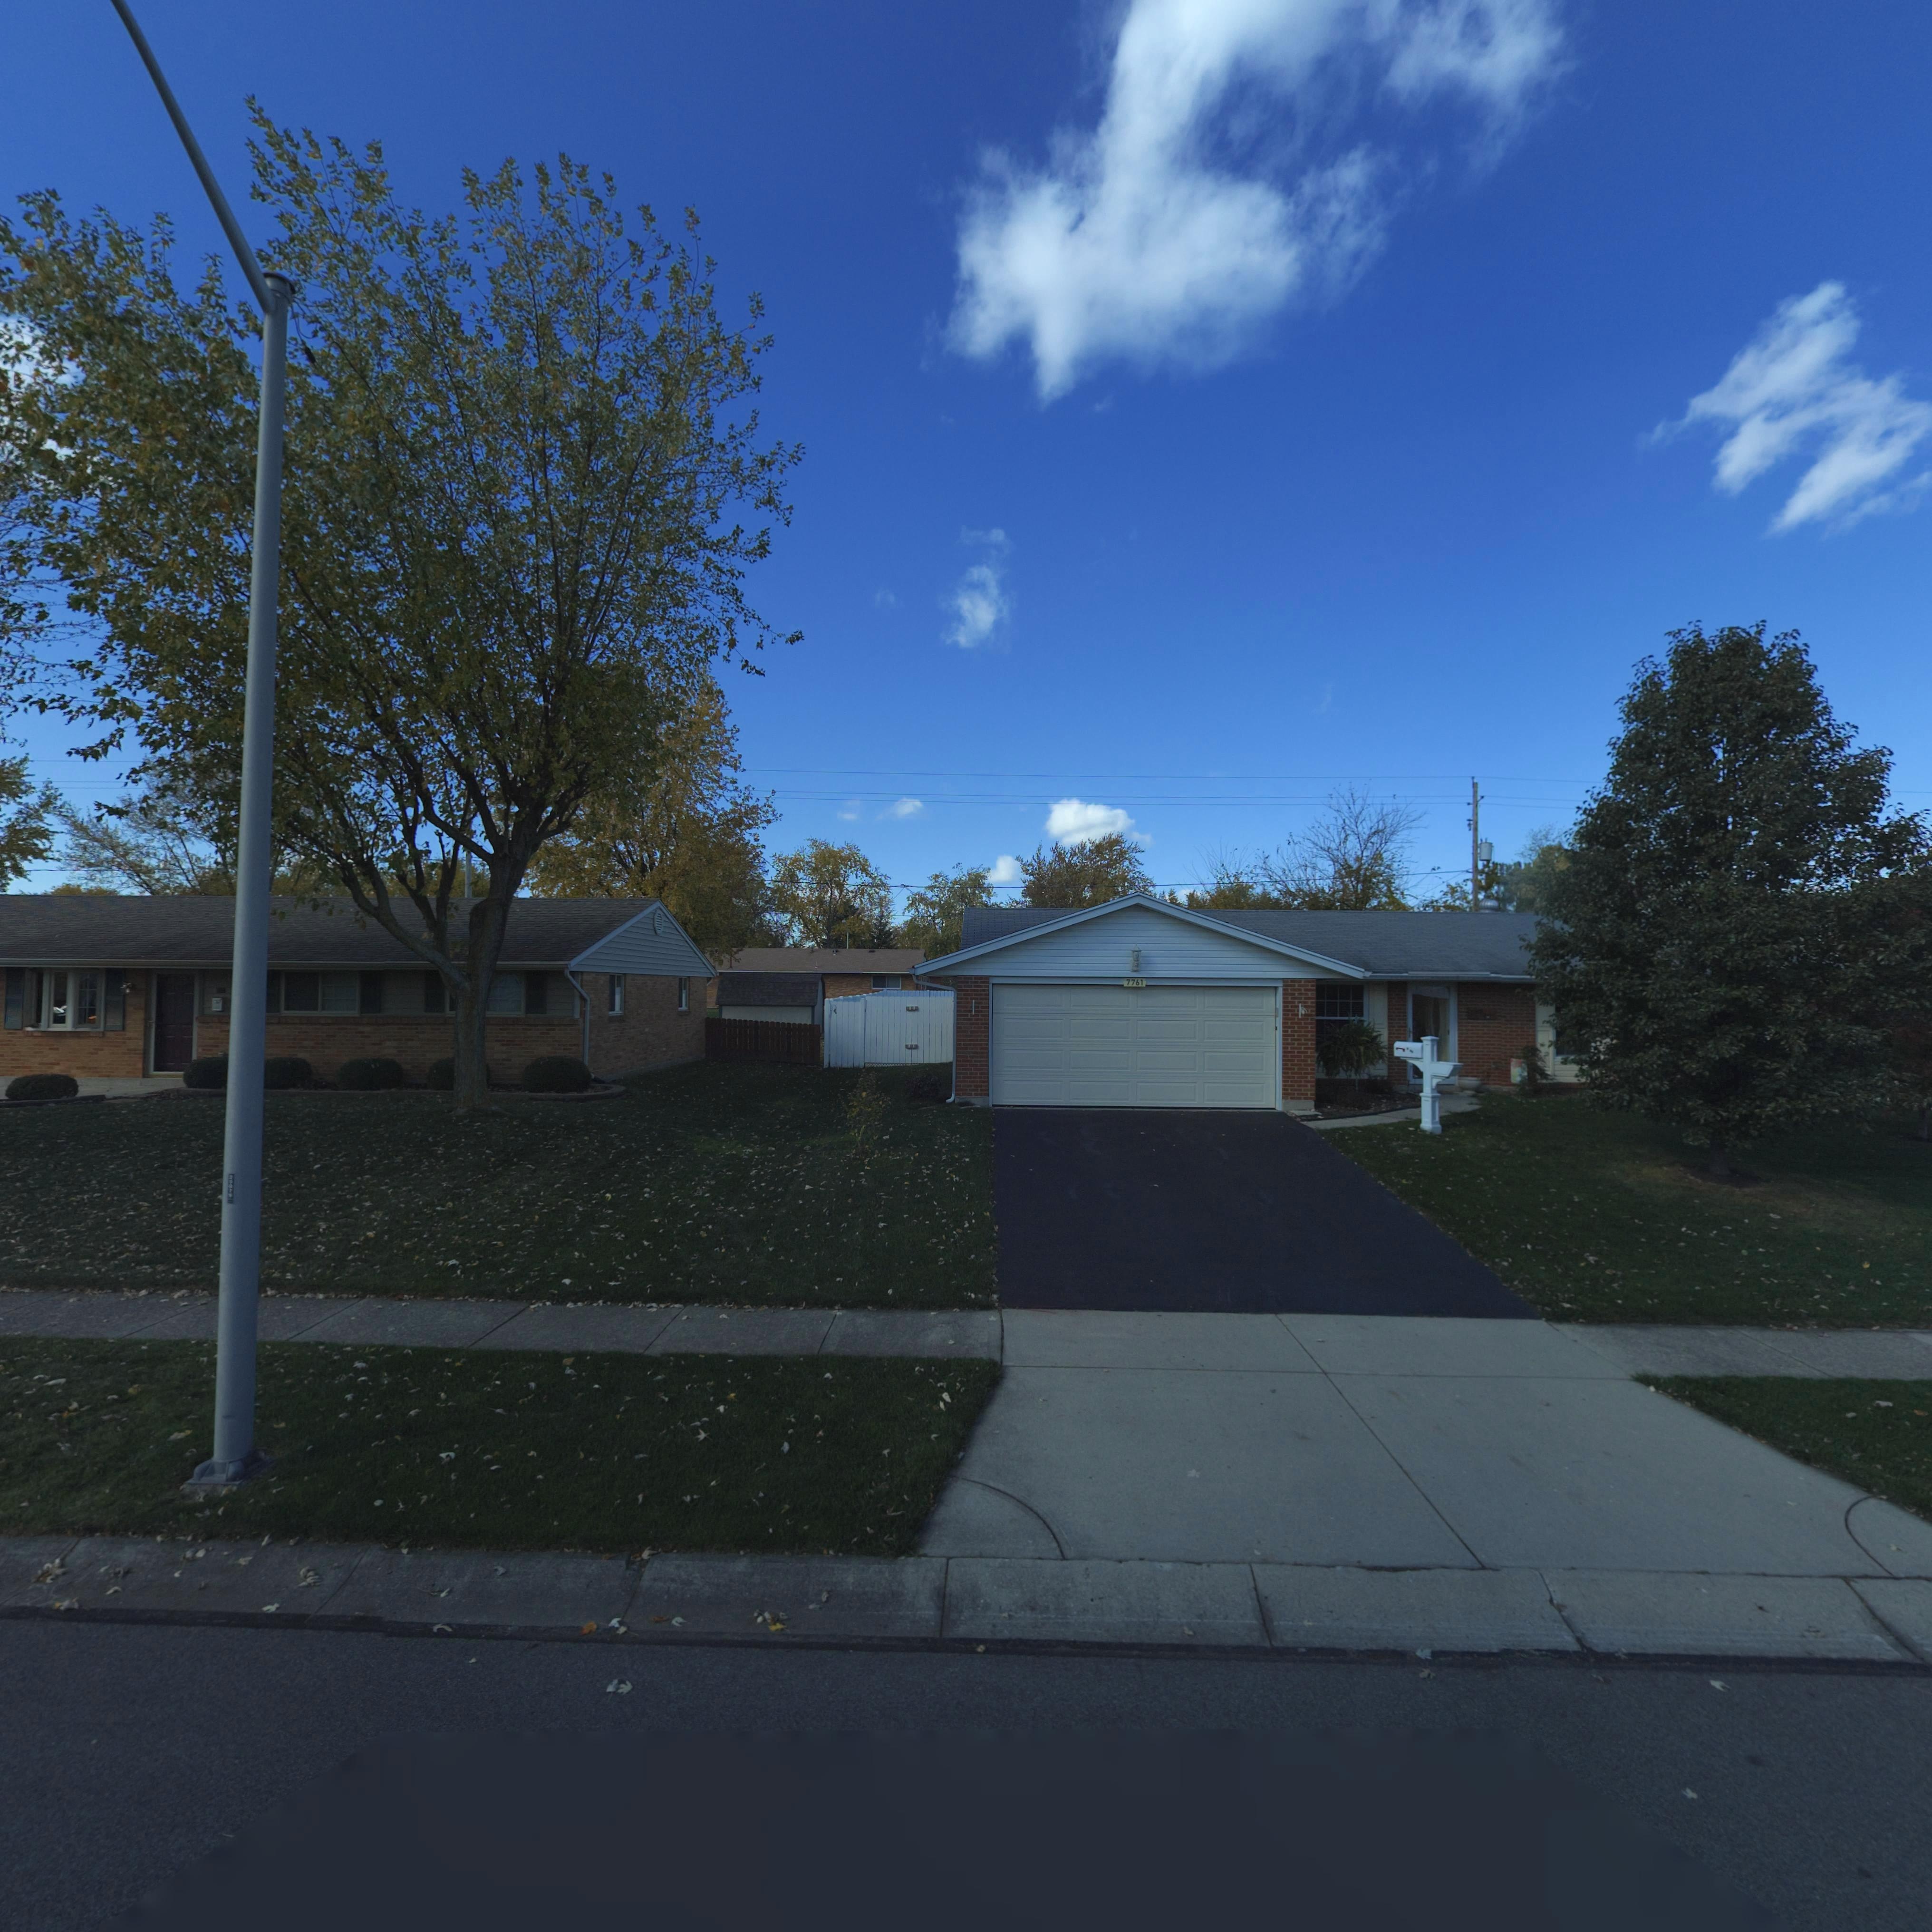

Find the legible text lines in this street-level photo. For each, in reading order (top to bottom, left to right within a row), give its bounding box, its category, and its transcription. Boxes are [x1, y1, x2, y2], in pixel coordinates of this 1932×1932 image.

[1125, 978, 1144, 987] StreetNumber: 7761